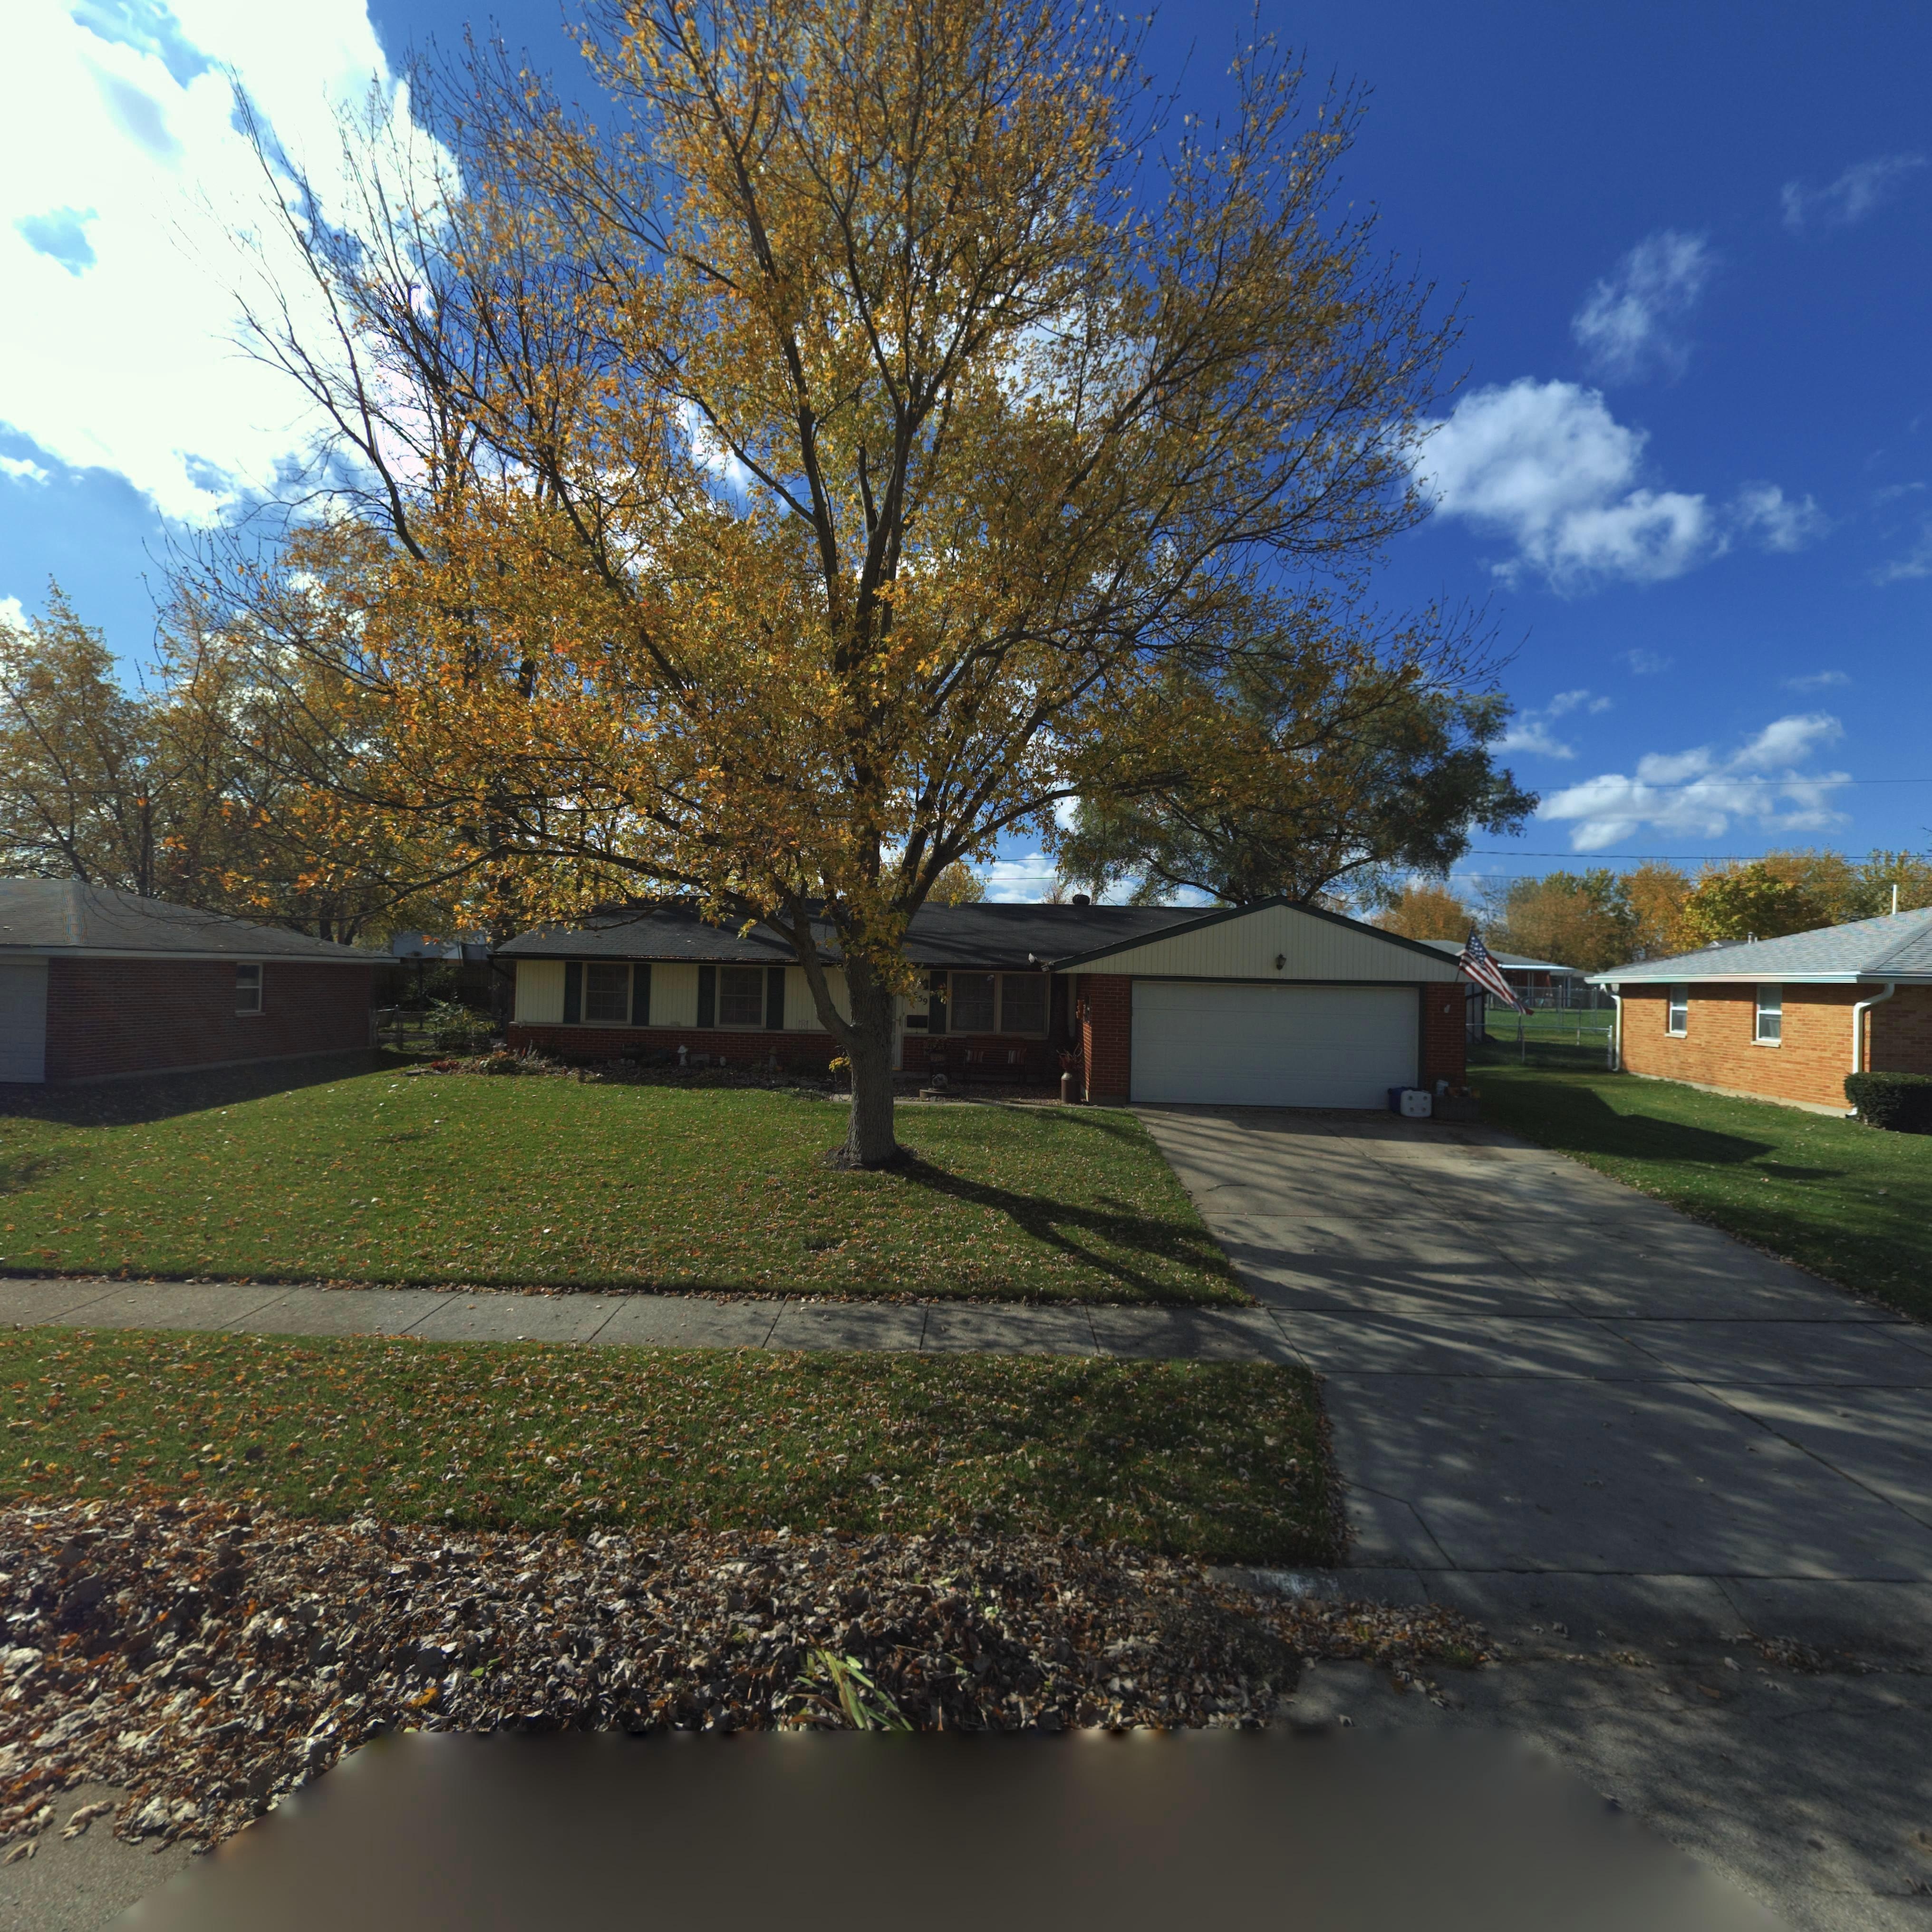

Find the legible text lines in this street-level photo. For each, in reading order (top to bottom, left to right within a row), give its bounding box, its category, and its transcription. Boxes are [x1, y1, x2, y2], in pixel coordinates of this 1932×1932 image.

[917, 994, 929, 1006] StreetNumber: 59